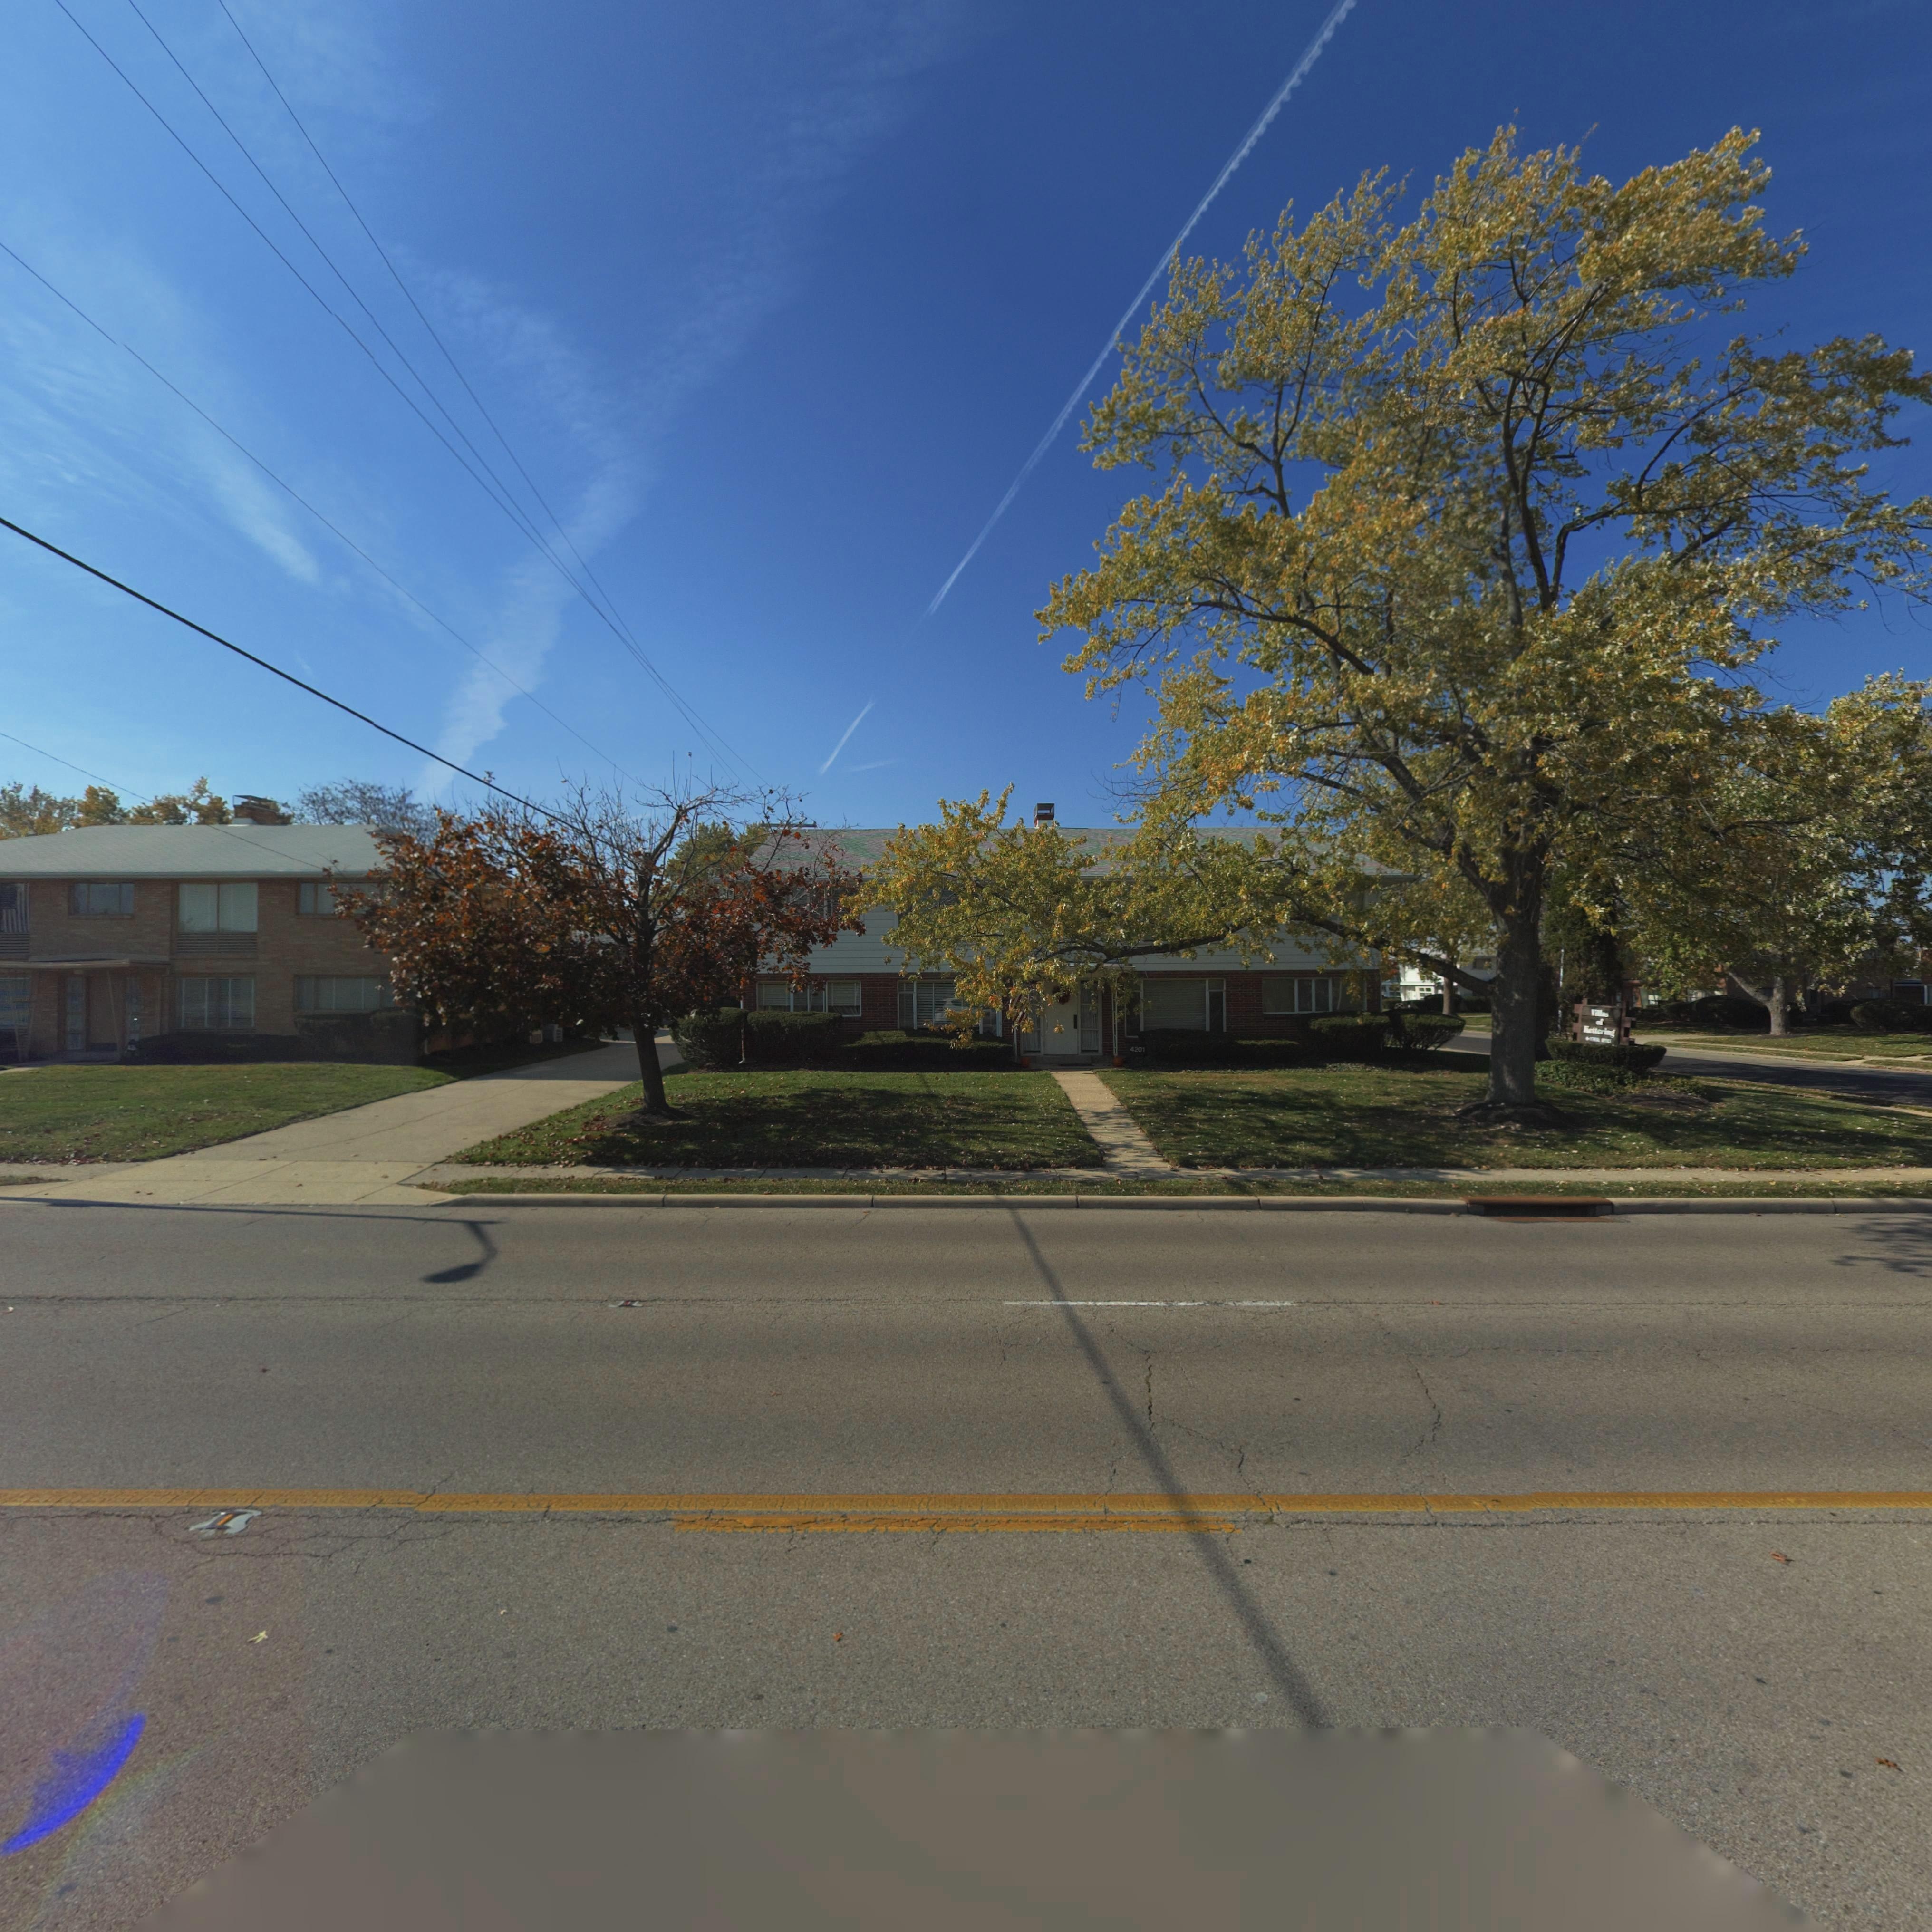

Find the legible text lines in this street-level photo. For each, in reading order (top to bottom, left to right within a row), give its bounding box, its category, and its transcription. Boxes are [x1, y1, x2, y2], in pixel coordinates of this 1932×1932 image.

[1591, 1008, 1609, 1018] None: Villas
[1595, 1018, 1604, 1026] None: of
[1583, 1025, 1617, 1039] None: Kettering
[127, 1045, 135, 1051] StreetNumber: 42
[1130, 1046, 1145, 1053] StreetNumber: 4201